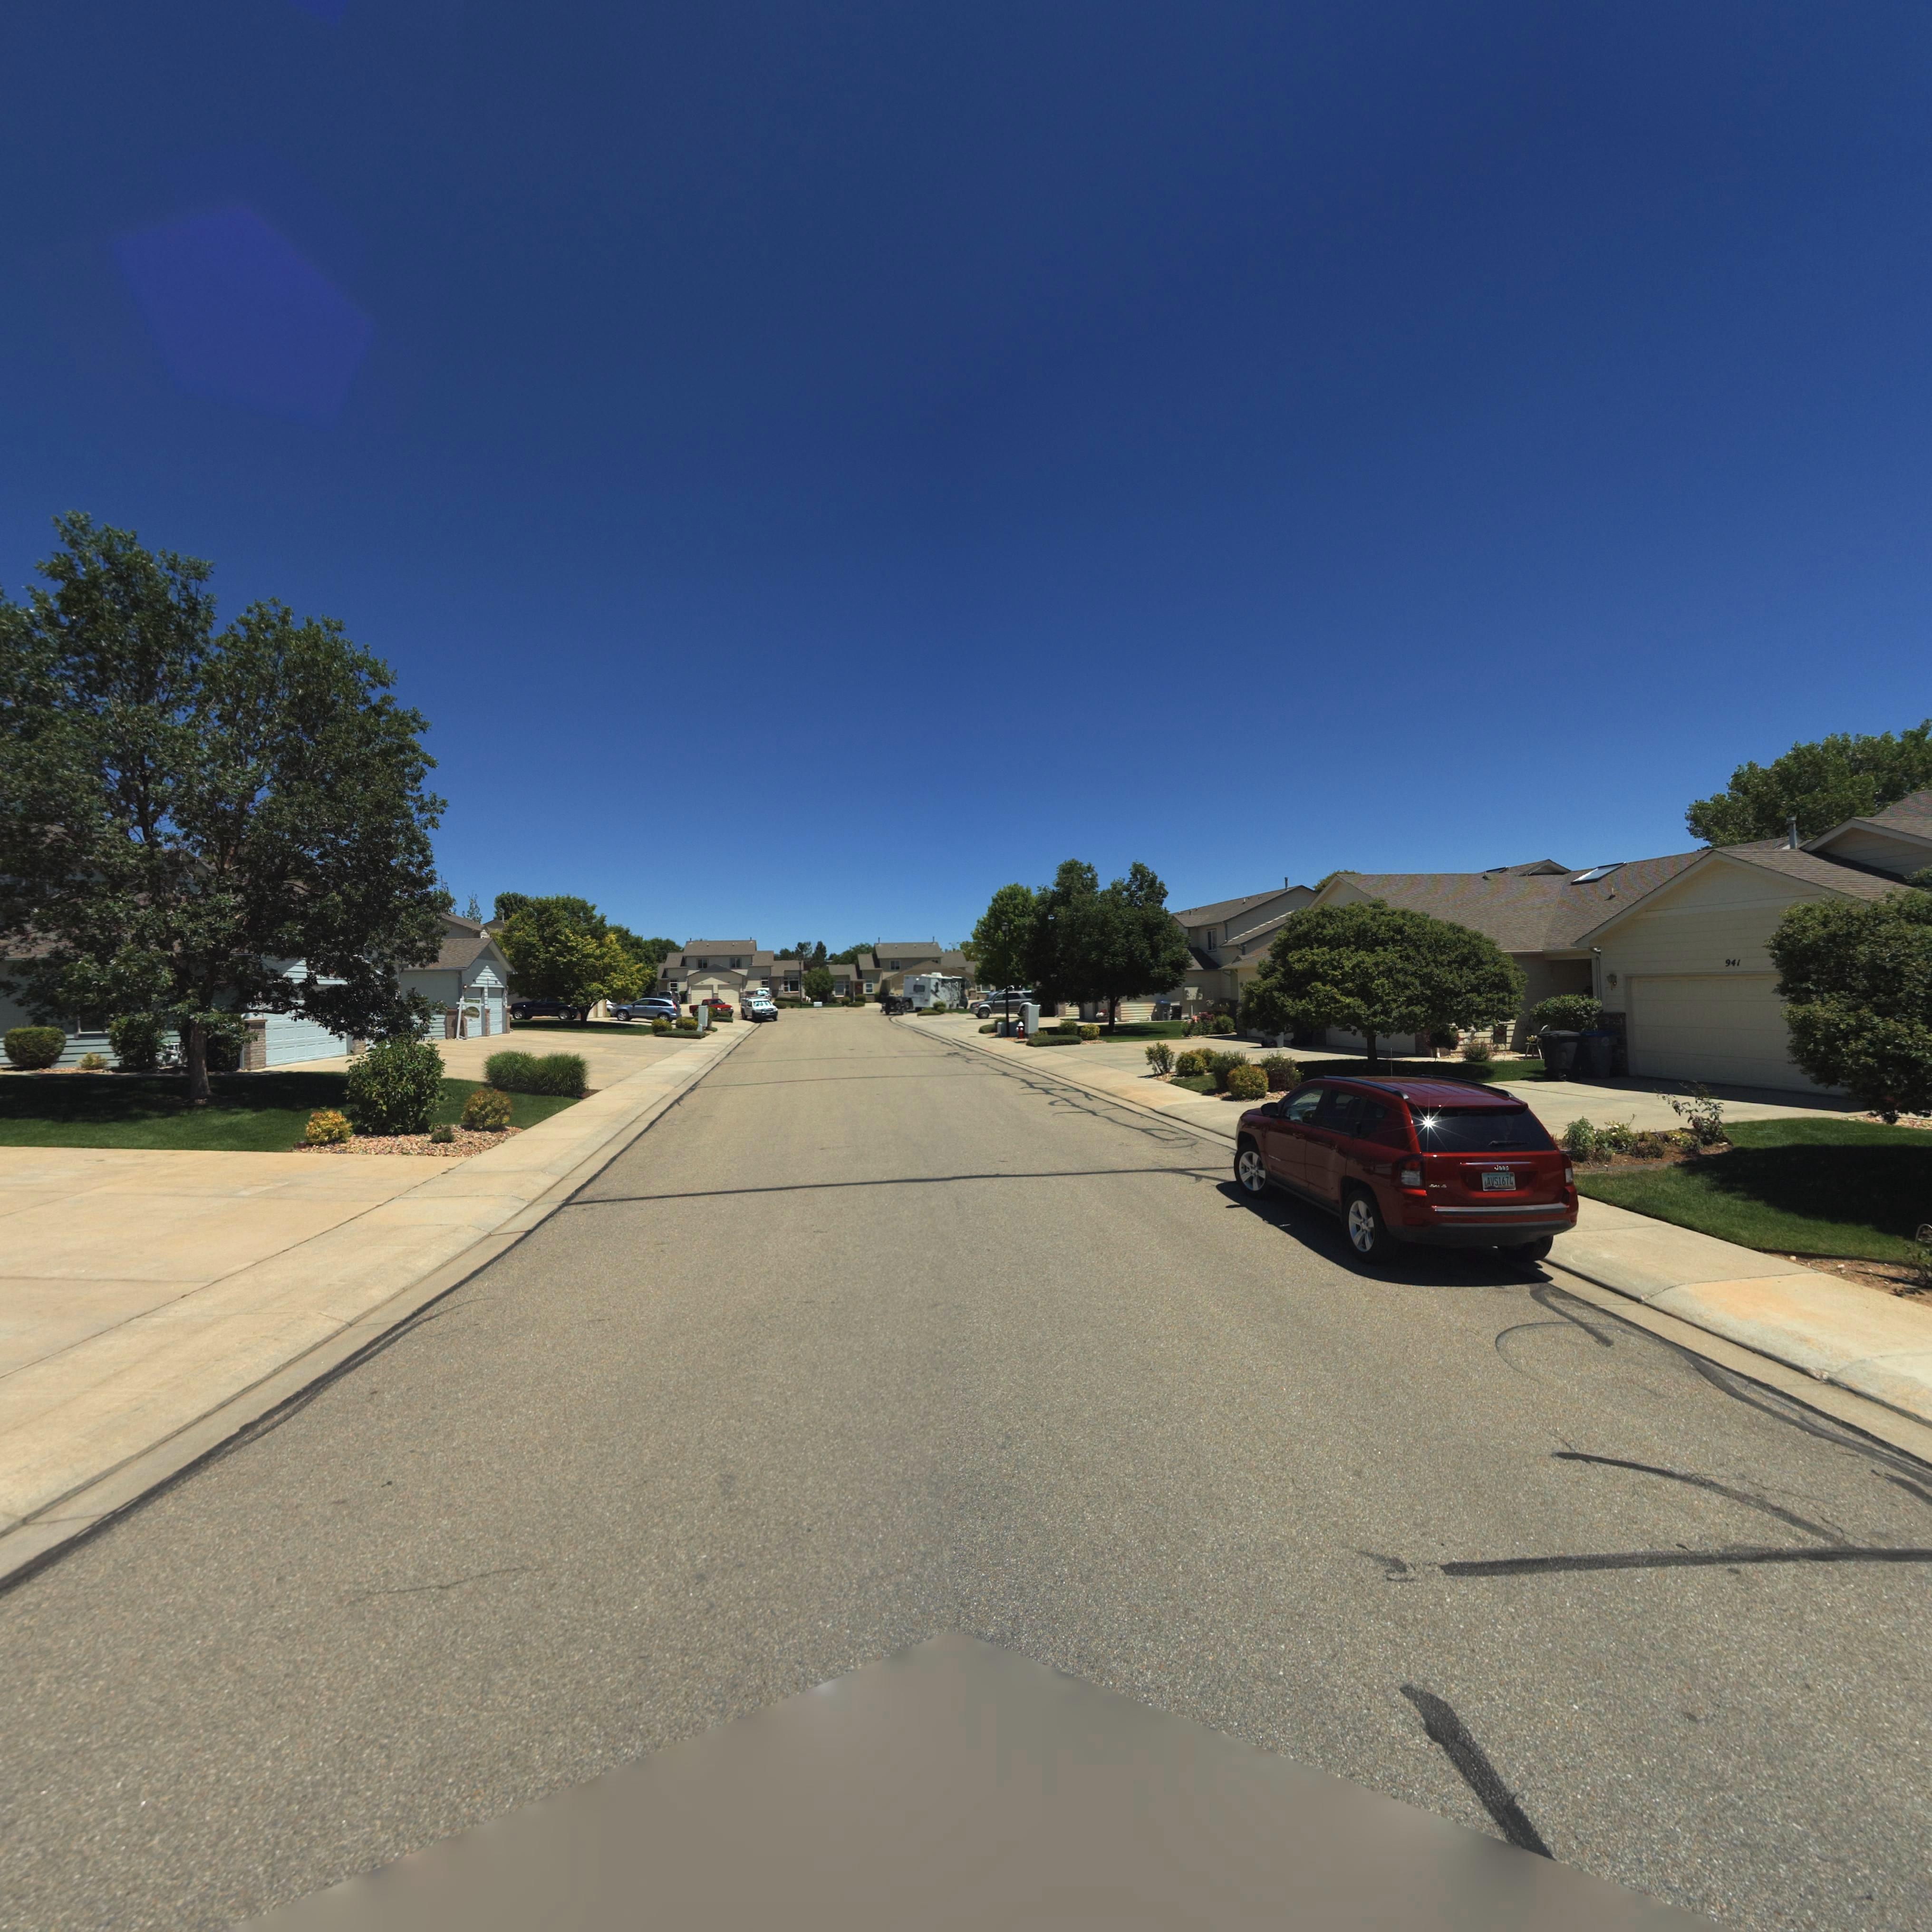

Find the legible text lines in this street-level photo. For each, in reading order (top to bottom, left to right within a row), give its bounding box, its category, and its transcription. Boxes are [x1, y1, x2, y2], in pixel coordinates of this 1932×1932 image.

[1724, 958, 1741, 967] StreetNumber: 941